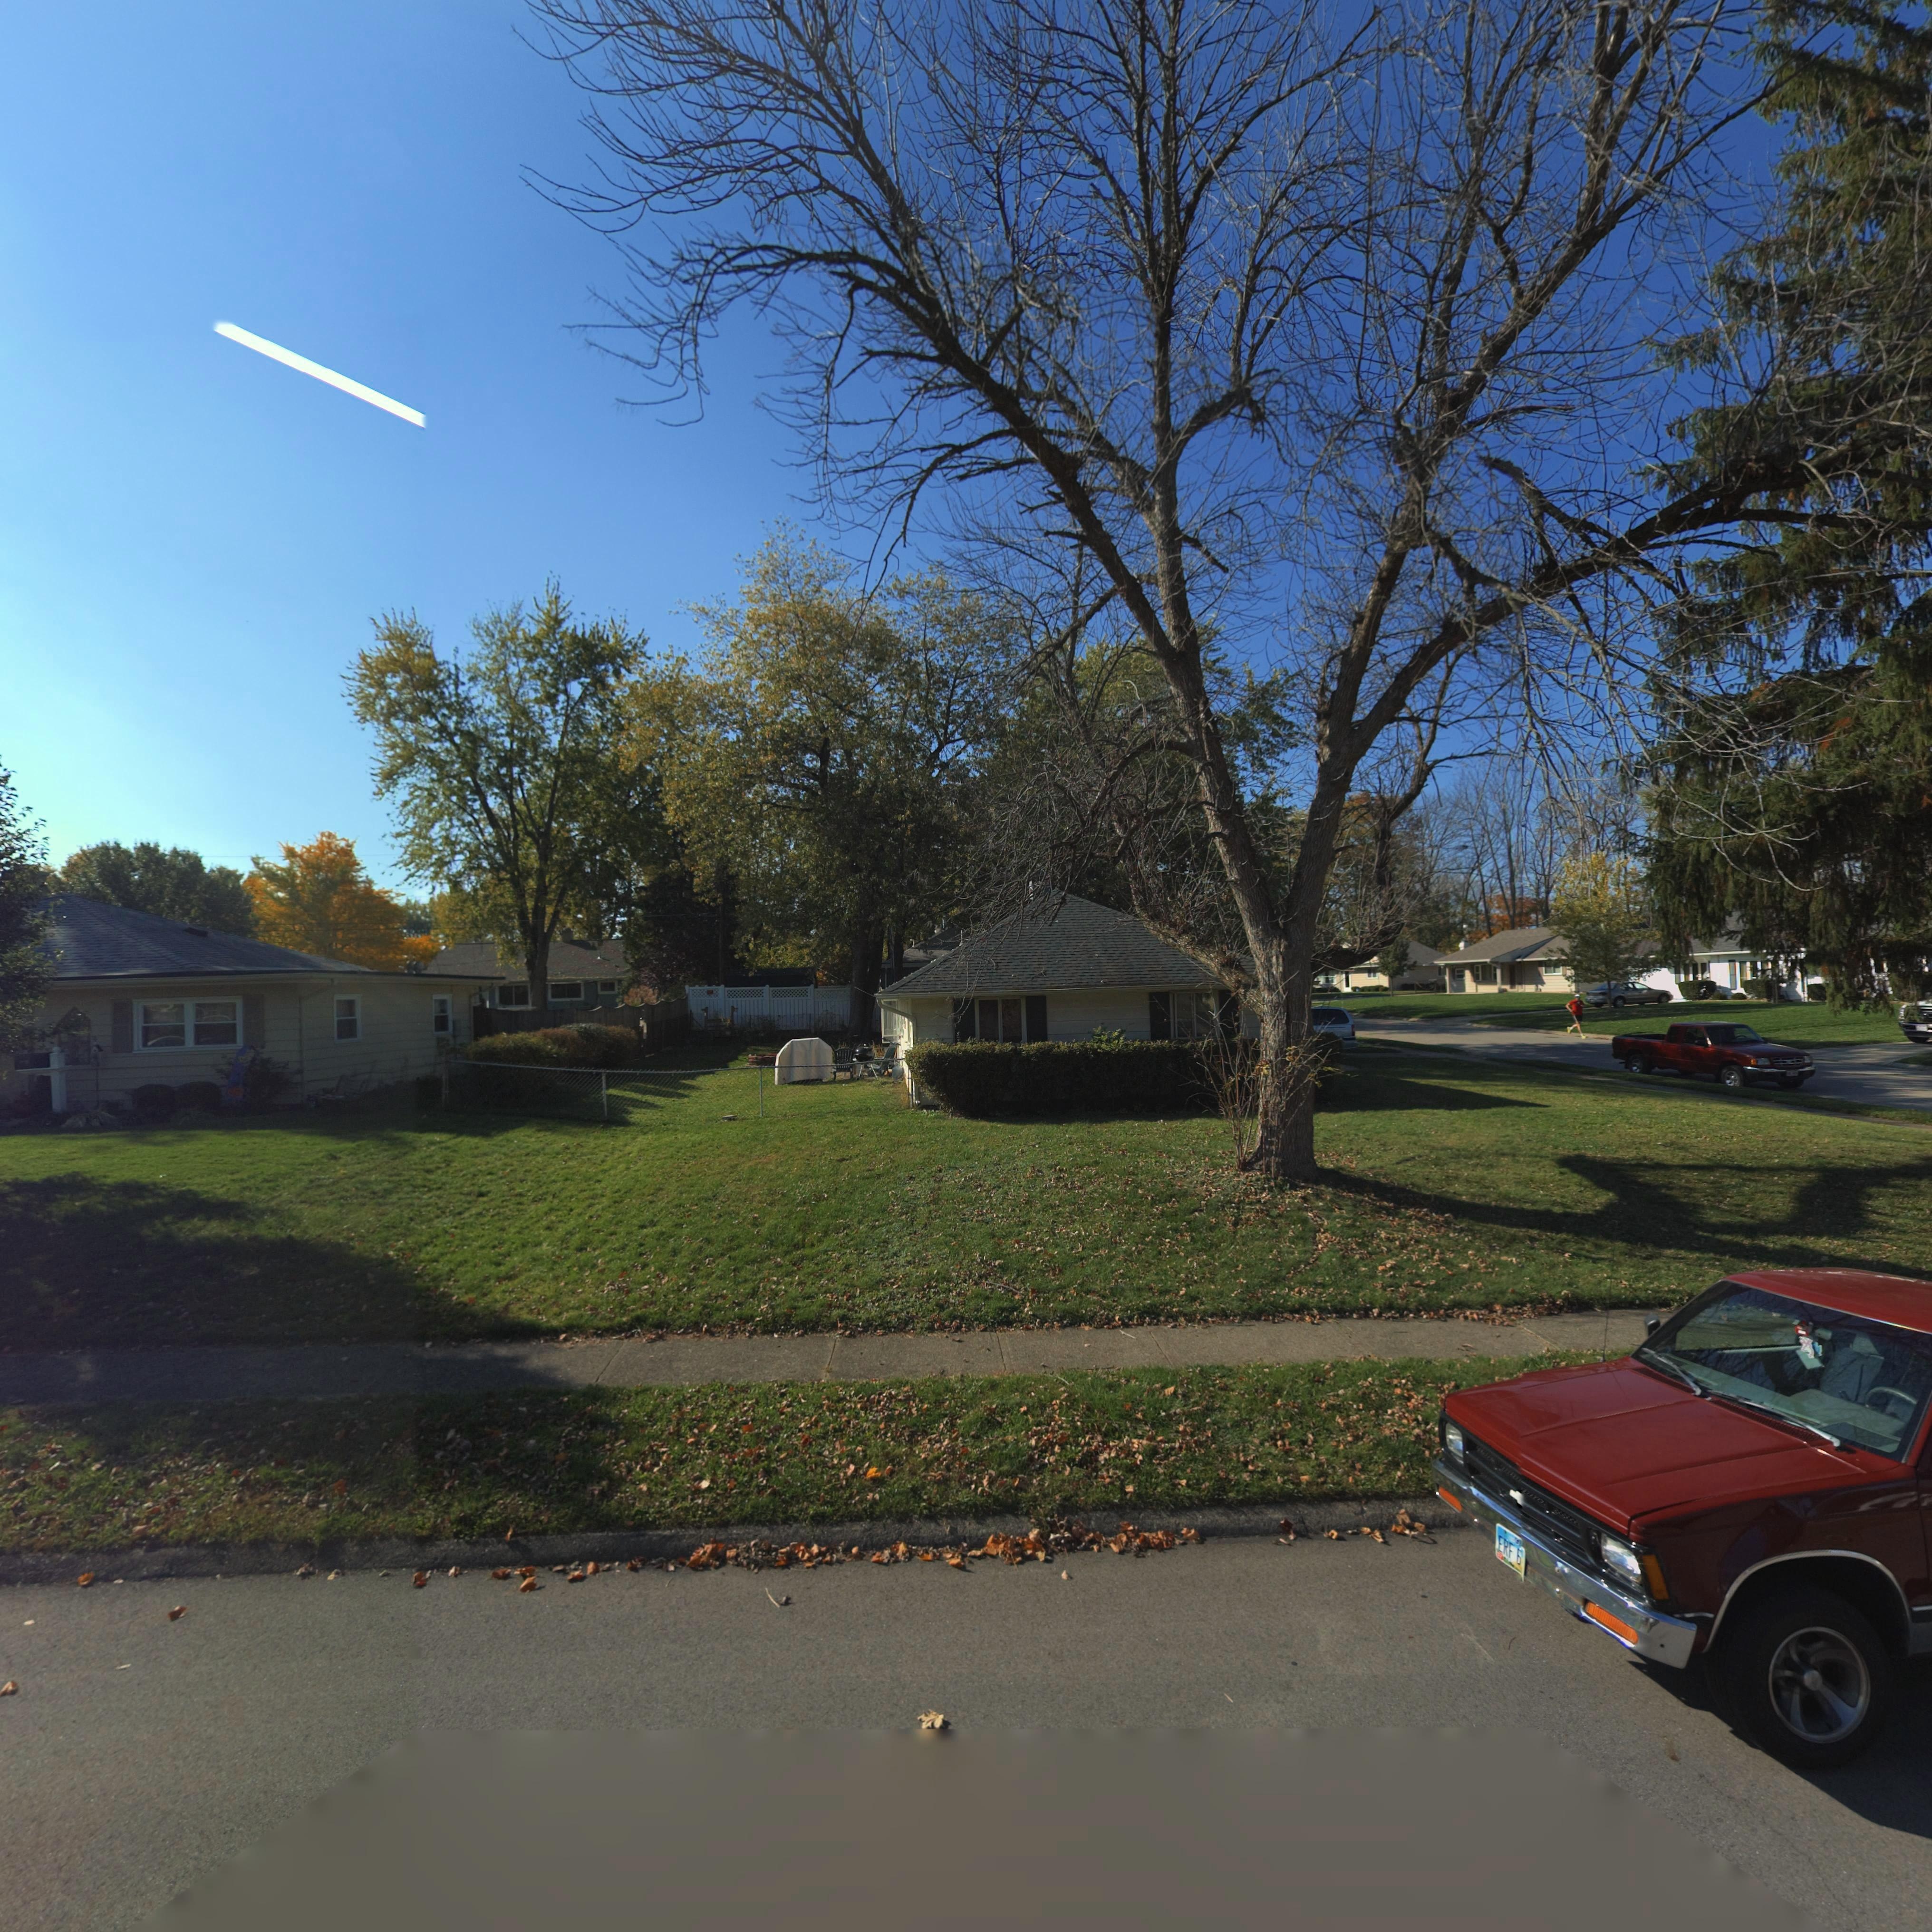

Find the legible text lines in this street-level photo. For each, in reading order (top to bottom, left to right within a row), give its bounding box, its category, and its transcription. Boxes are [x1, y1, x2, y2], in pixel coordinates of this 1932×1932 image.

[1498, 1534, 1523, 1566] None: ERF 6